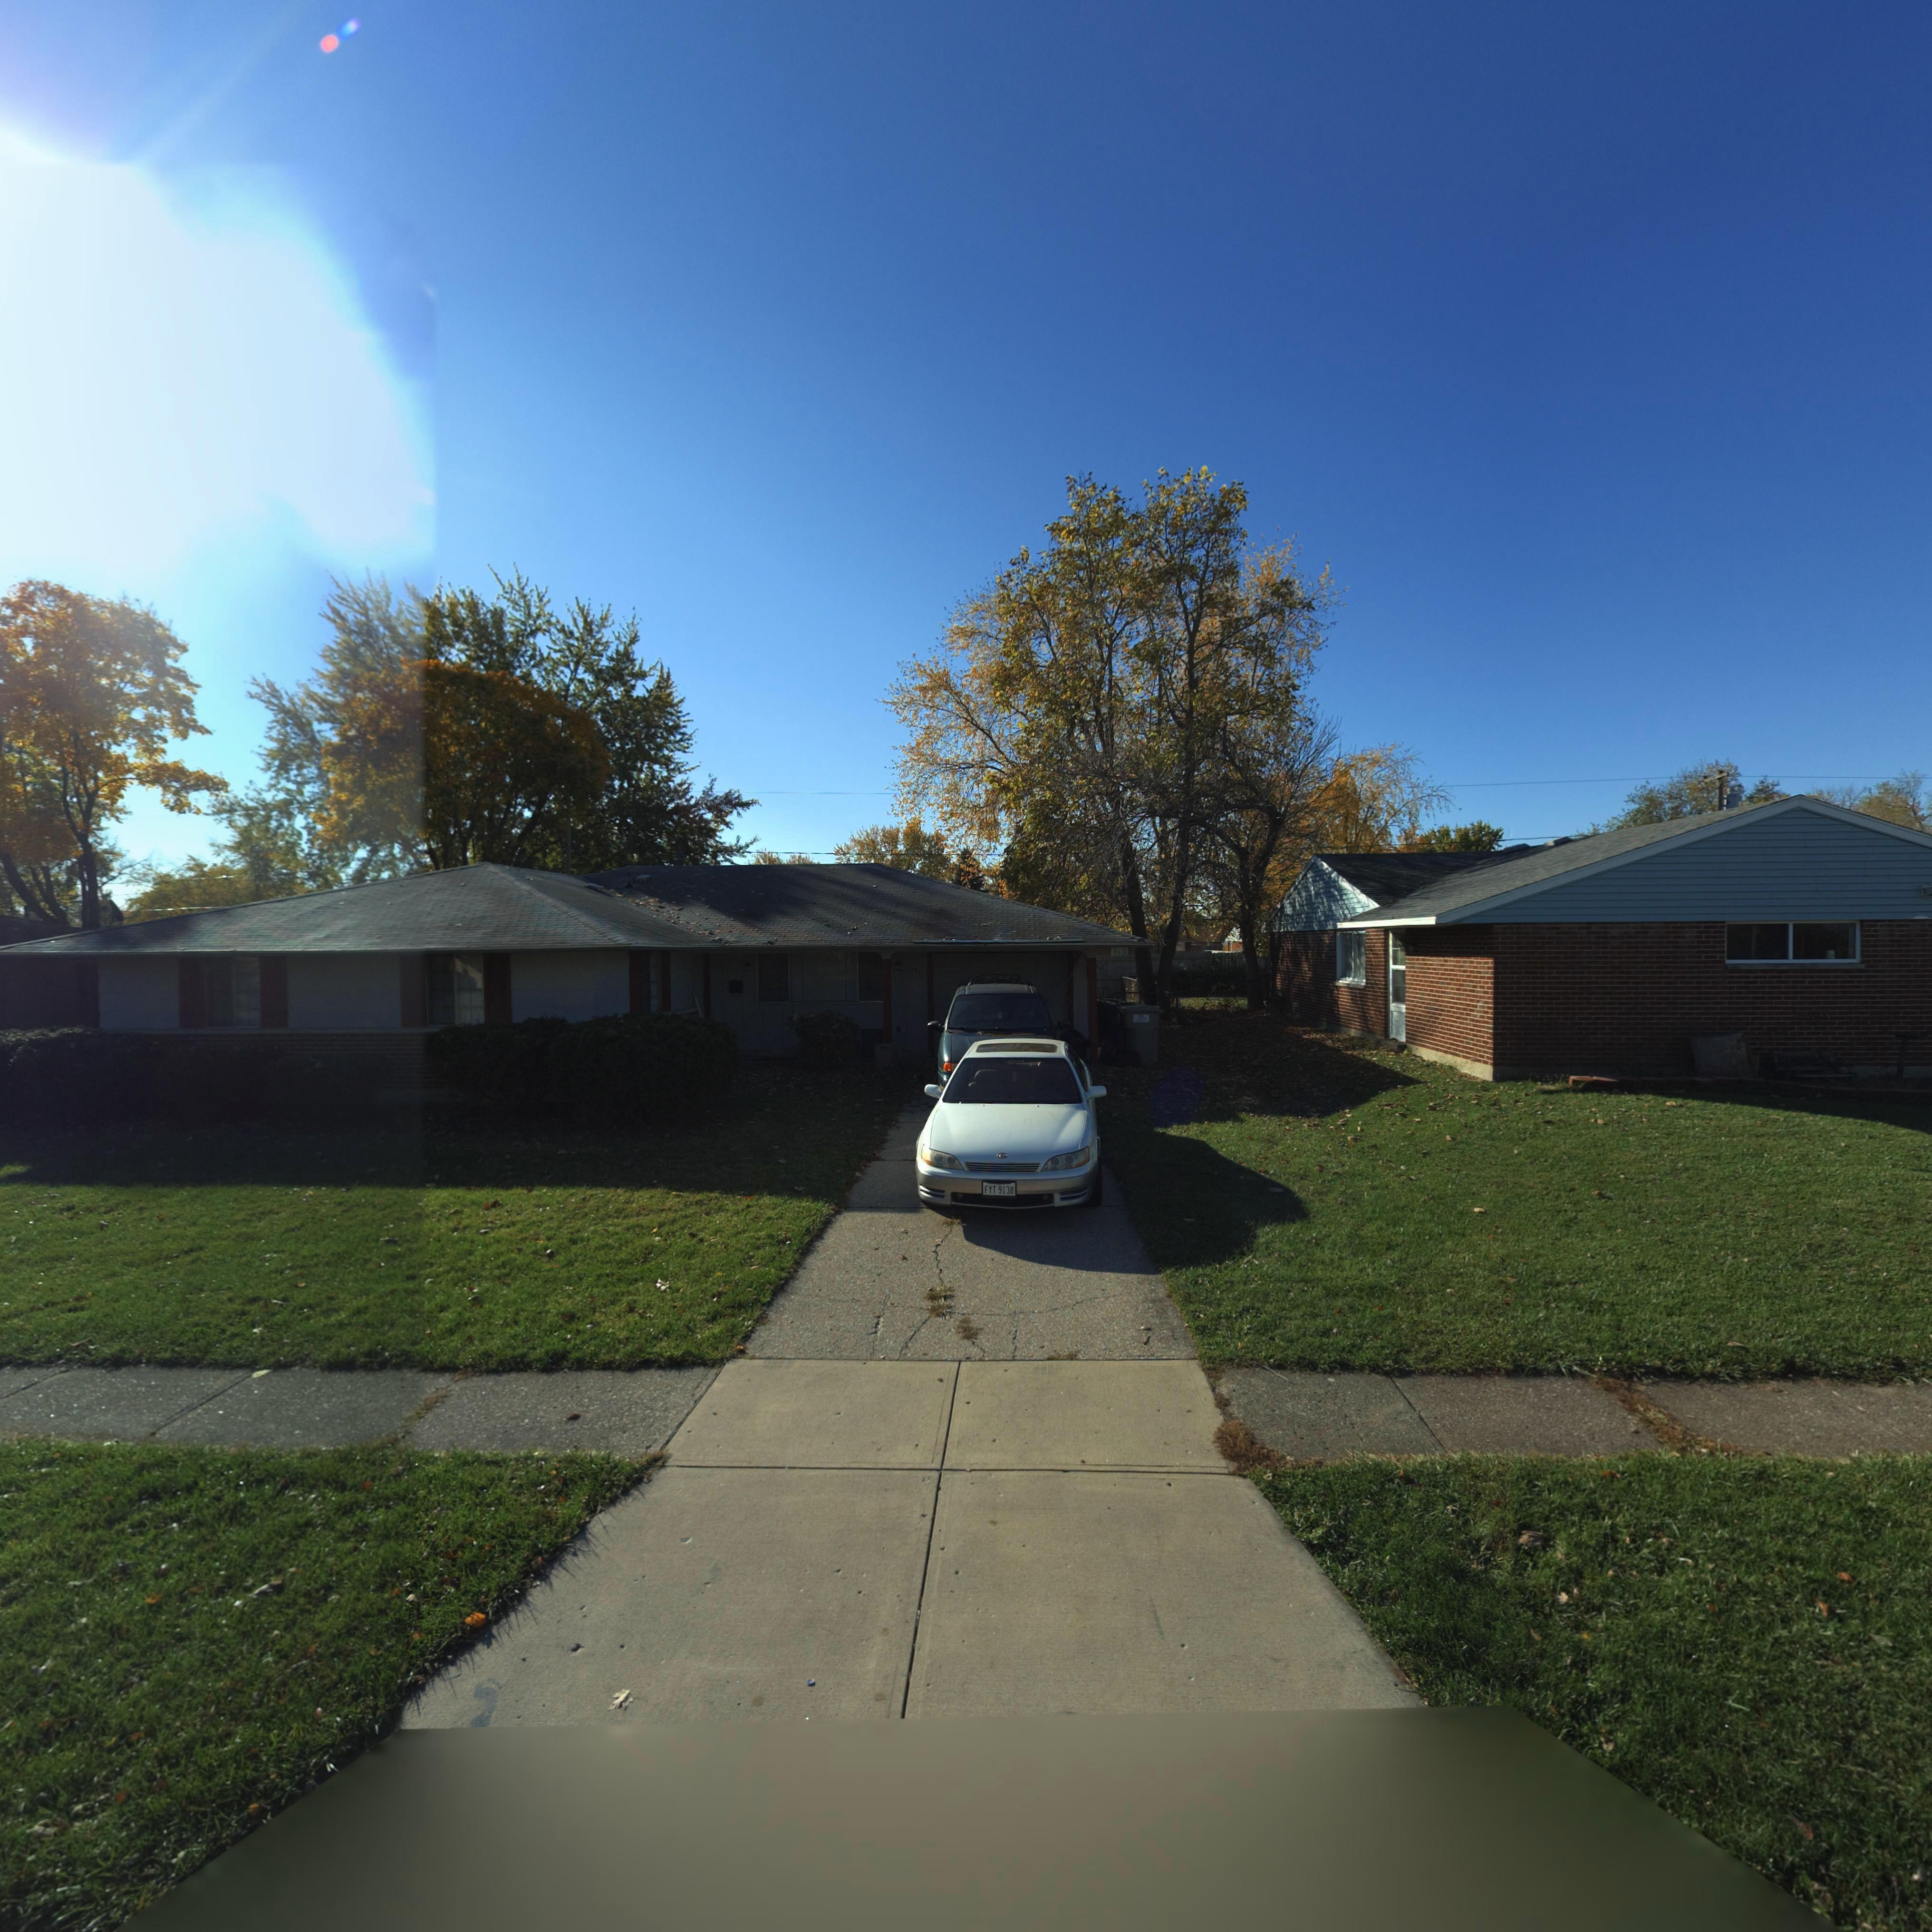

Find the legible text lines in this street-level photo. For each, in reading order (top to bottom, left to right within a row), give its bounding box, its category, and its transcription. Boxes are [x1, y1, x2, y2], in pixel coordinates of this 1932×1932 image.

[906, 964, 921, 975] StreetNumber: 7*7*